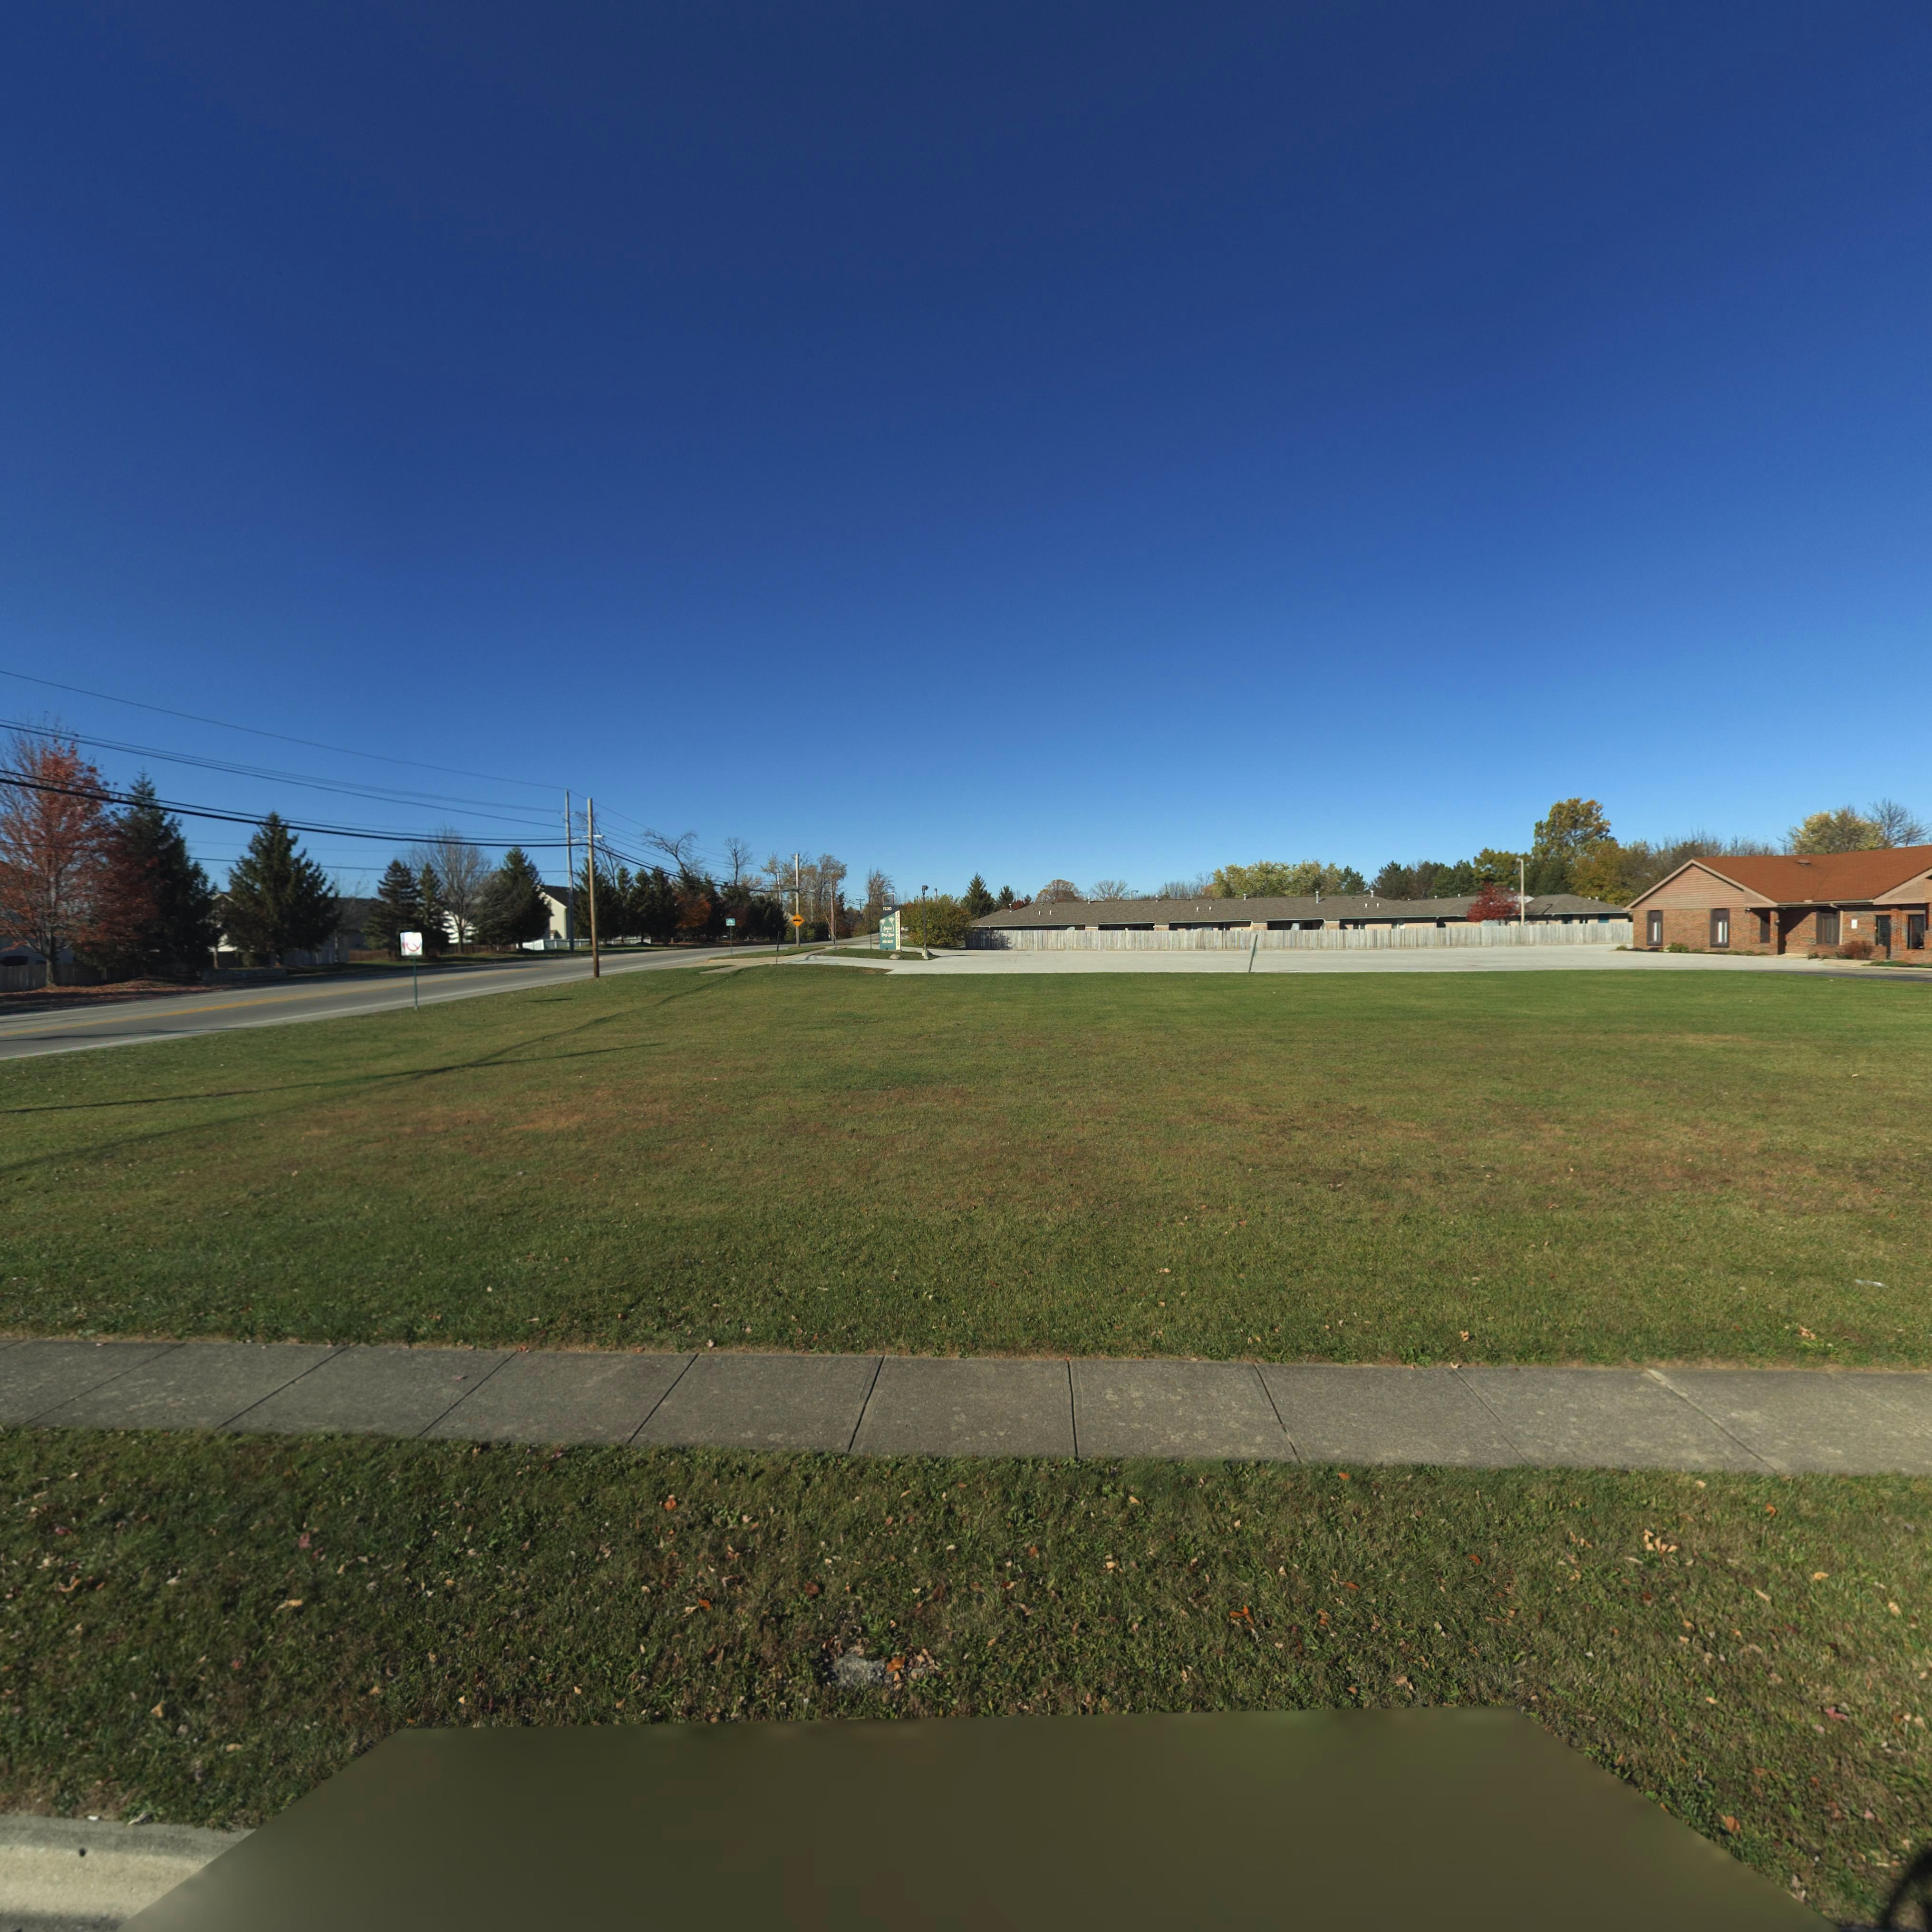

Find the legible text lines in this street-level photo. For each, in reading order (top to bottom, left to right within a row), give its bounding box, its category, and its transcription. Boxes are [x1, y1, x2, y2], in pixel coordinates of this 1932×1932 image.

[882, 906, 892, 911] StreetNumber: 1230